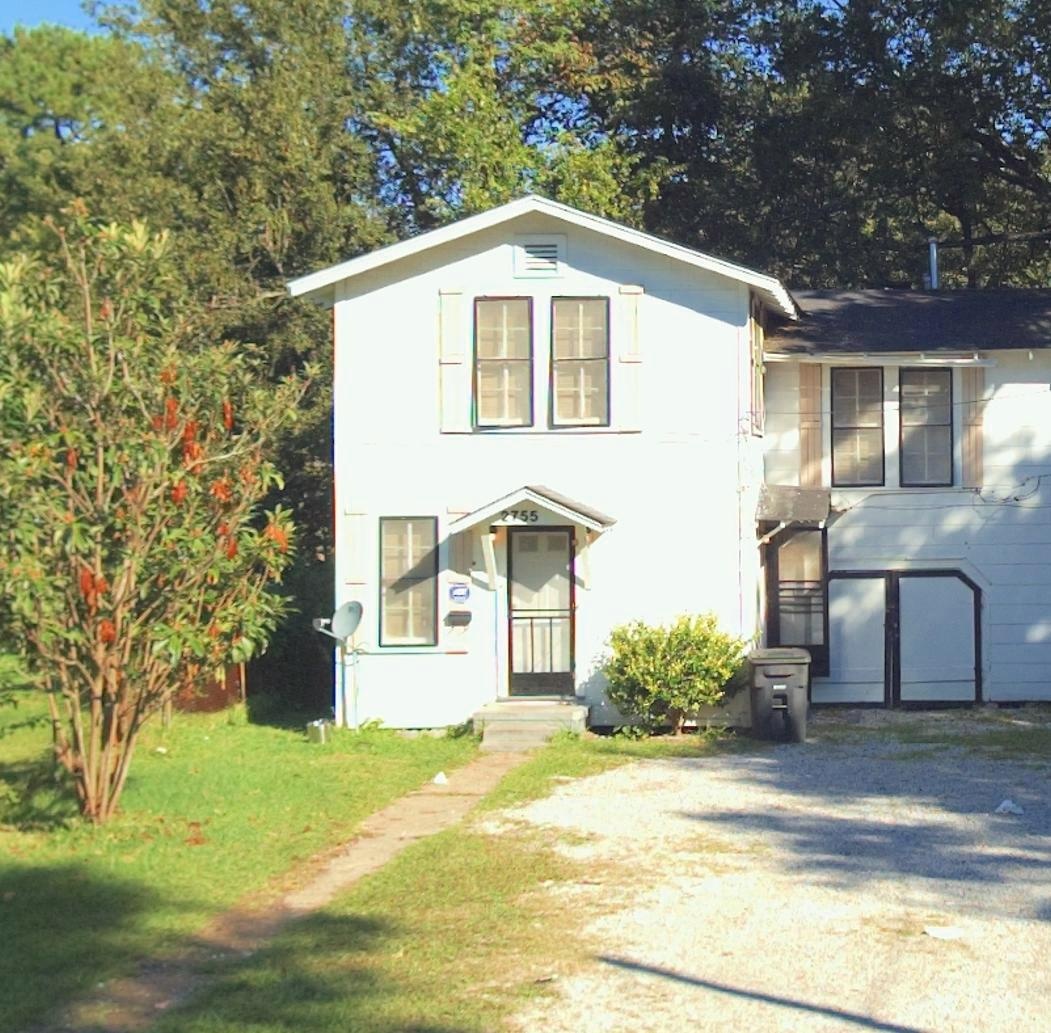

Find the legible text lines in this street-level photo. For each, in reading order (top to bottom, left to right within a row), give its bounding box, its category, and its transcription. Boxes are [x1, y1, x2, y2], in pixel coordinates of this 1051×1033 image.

[499, 508, 540, 524] StreetNumber: 2755